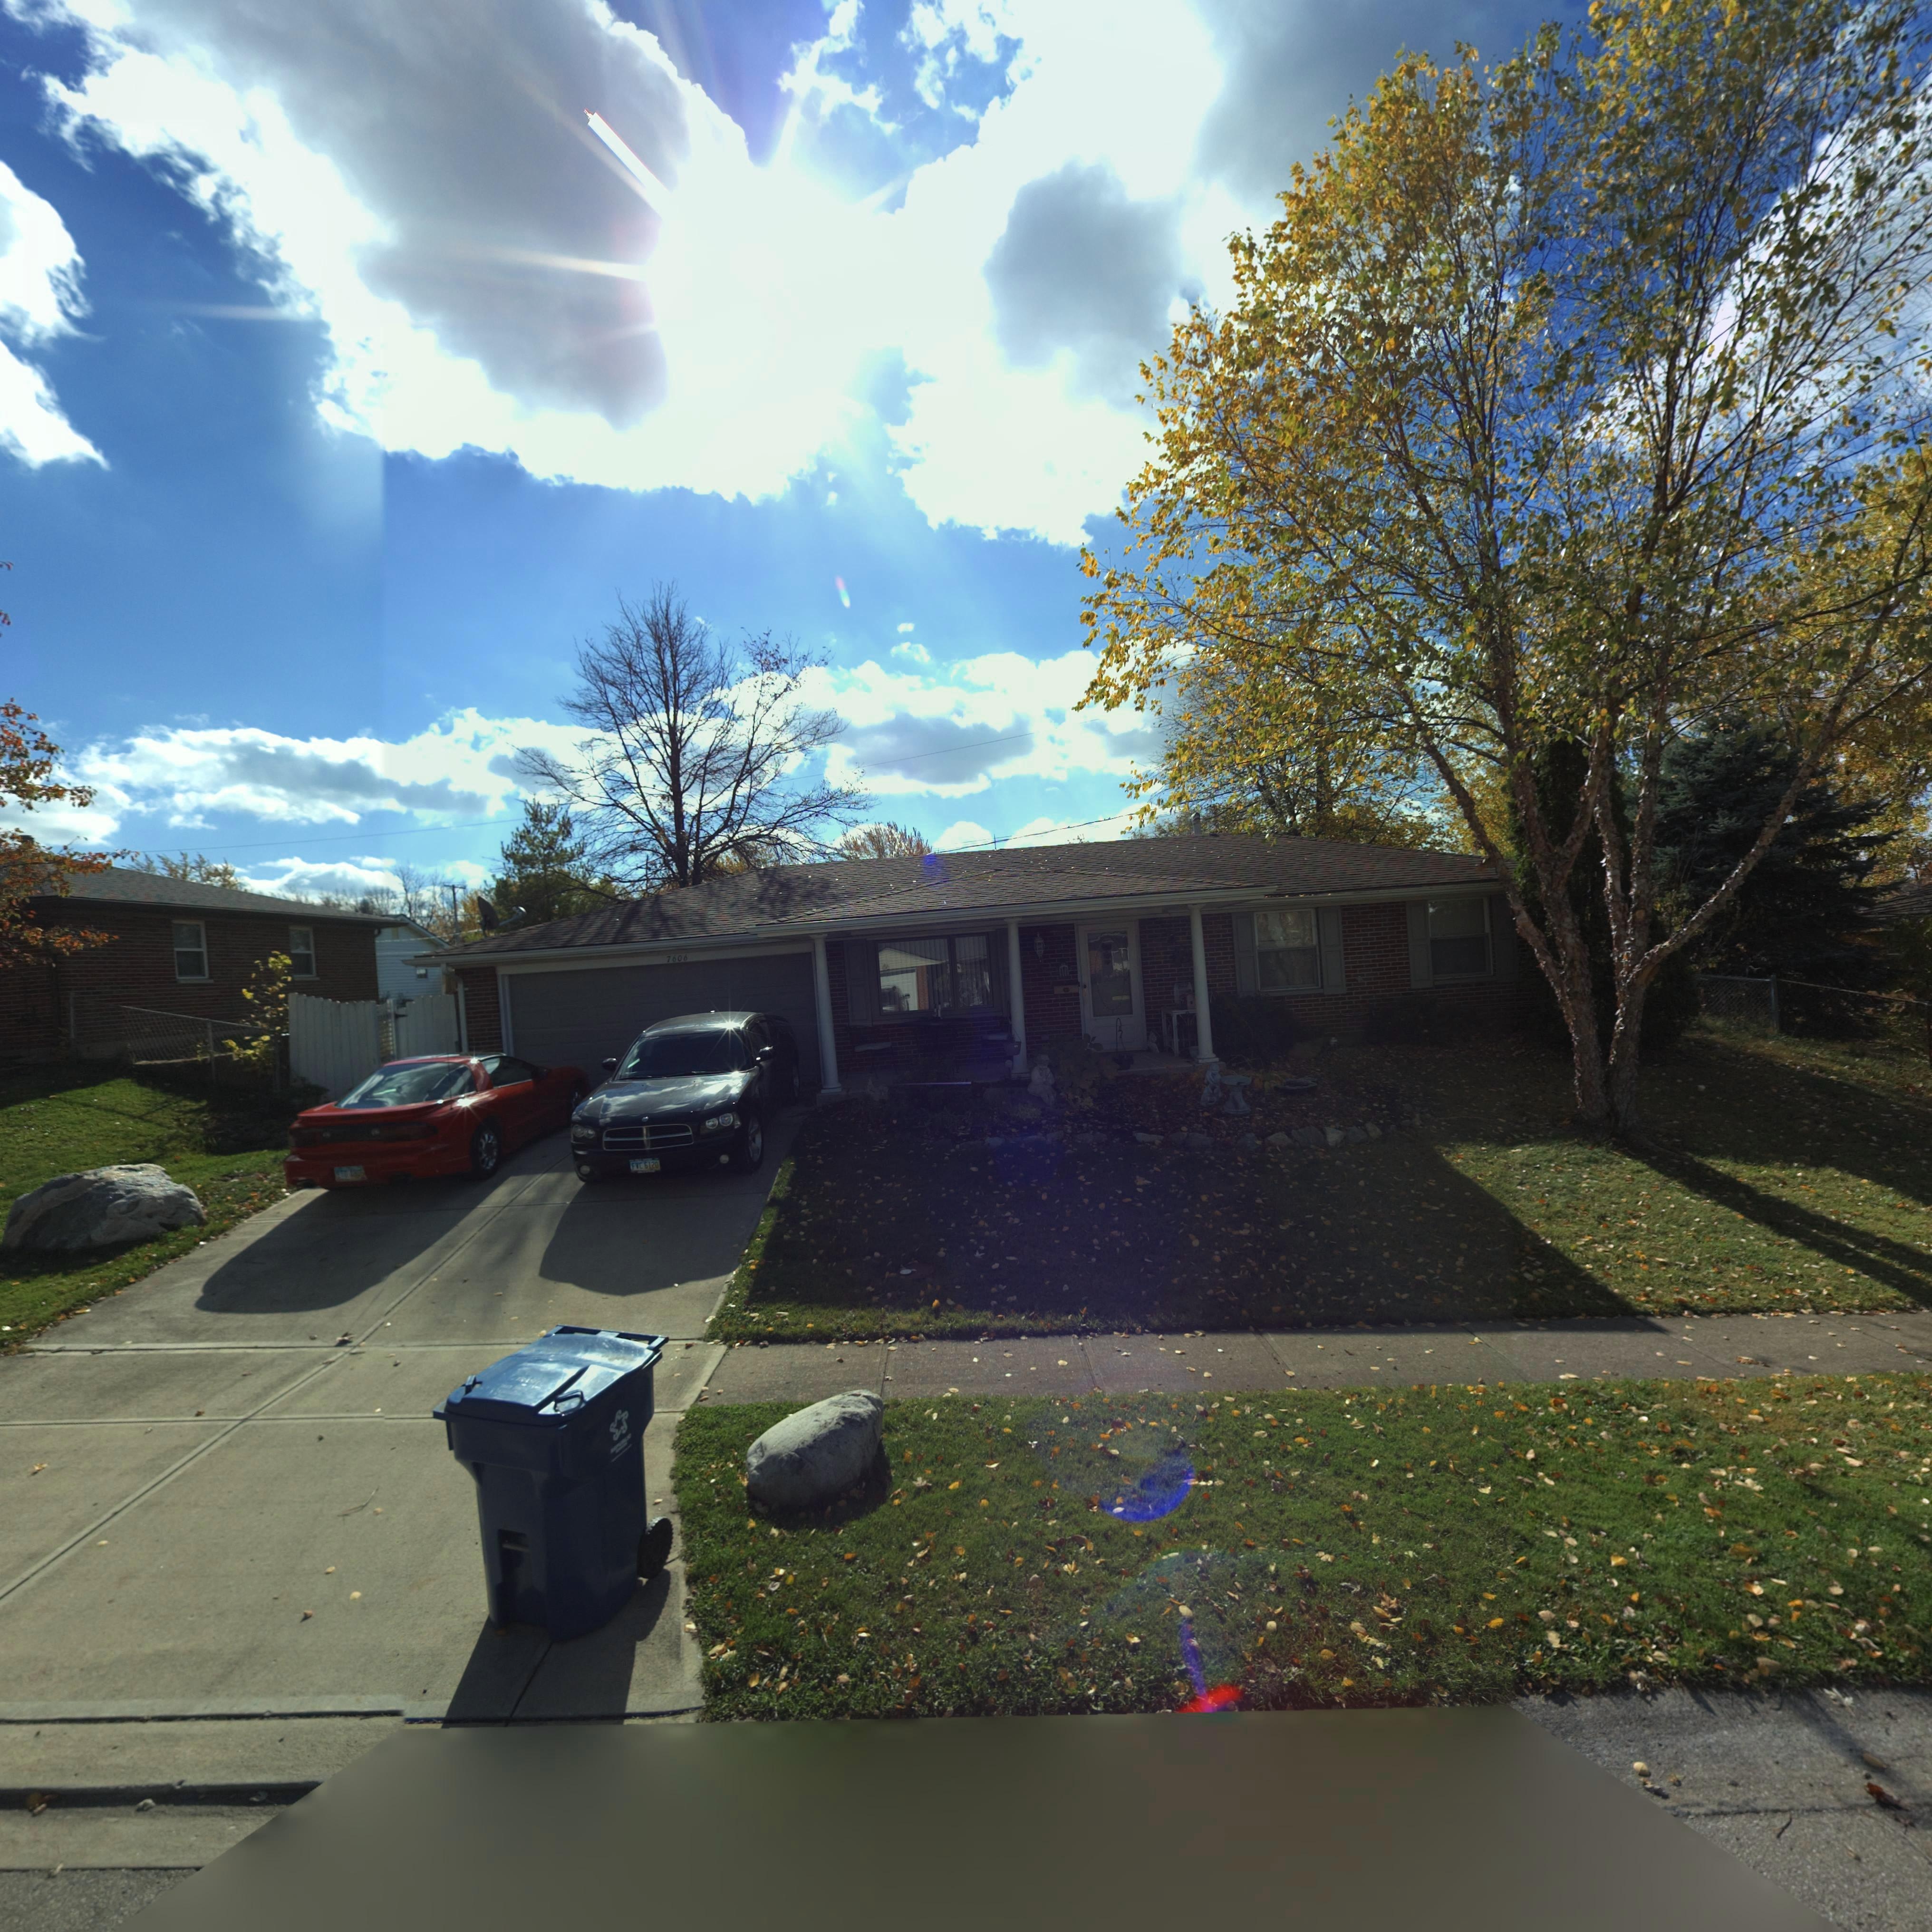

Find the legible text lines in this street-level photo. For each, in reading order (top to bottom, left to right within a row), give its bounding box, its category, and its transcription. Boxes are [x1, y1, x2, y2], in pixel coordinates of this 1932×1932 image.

[666, 953, 689, 963] StreetNumber: 7606